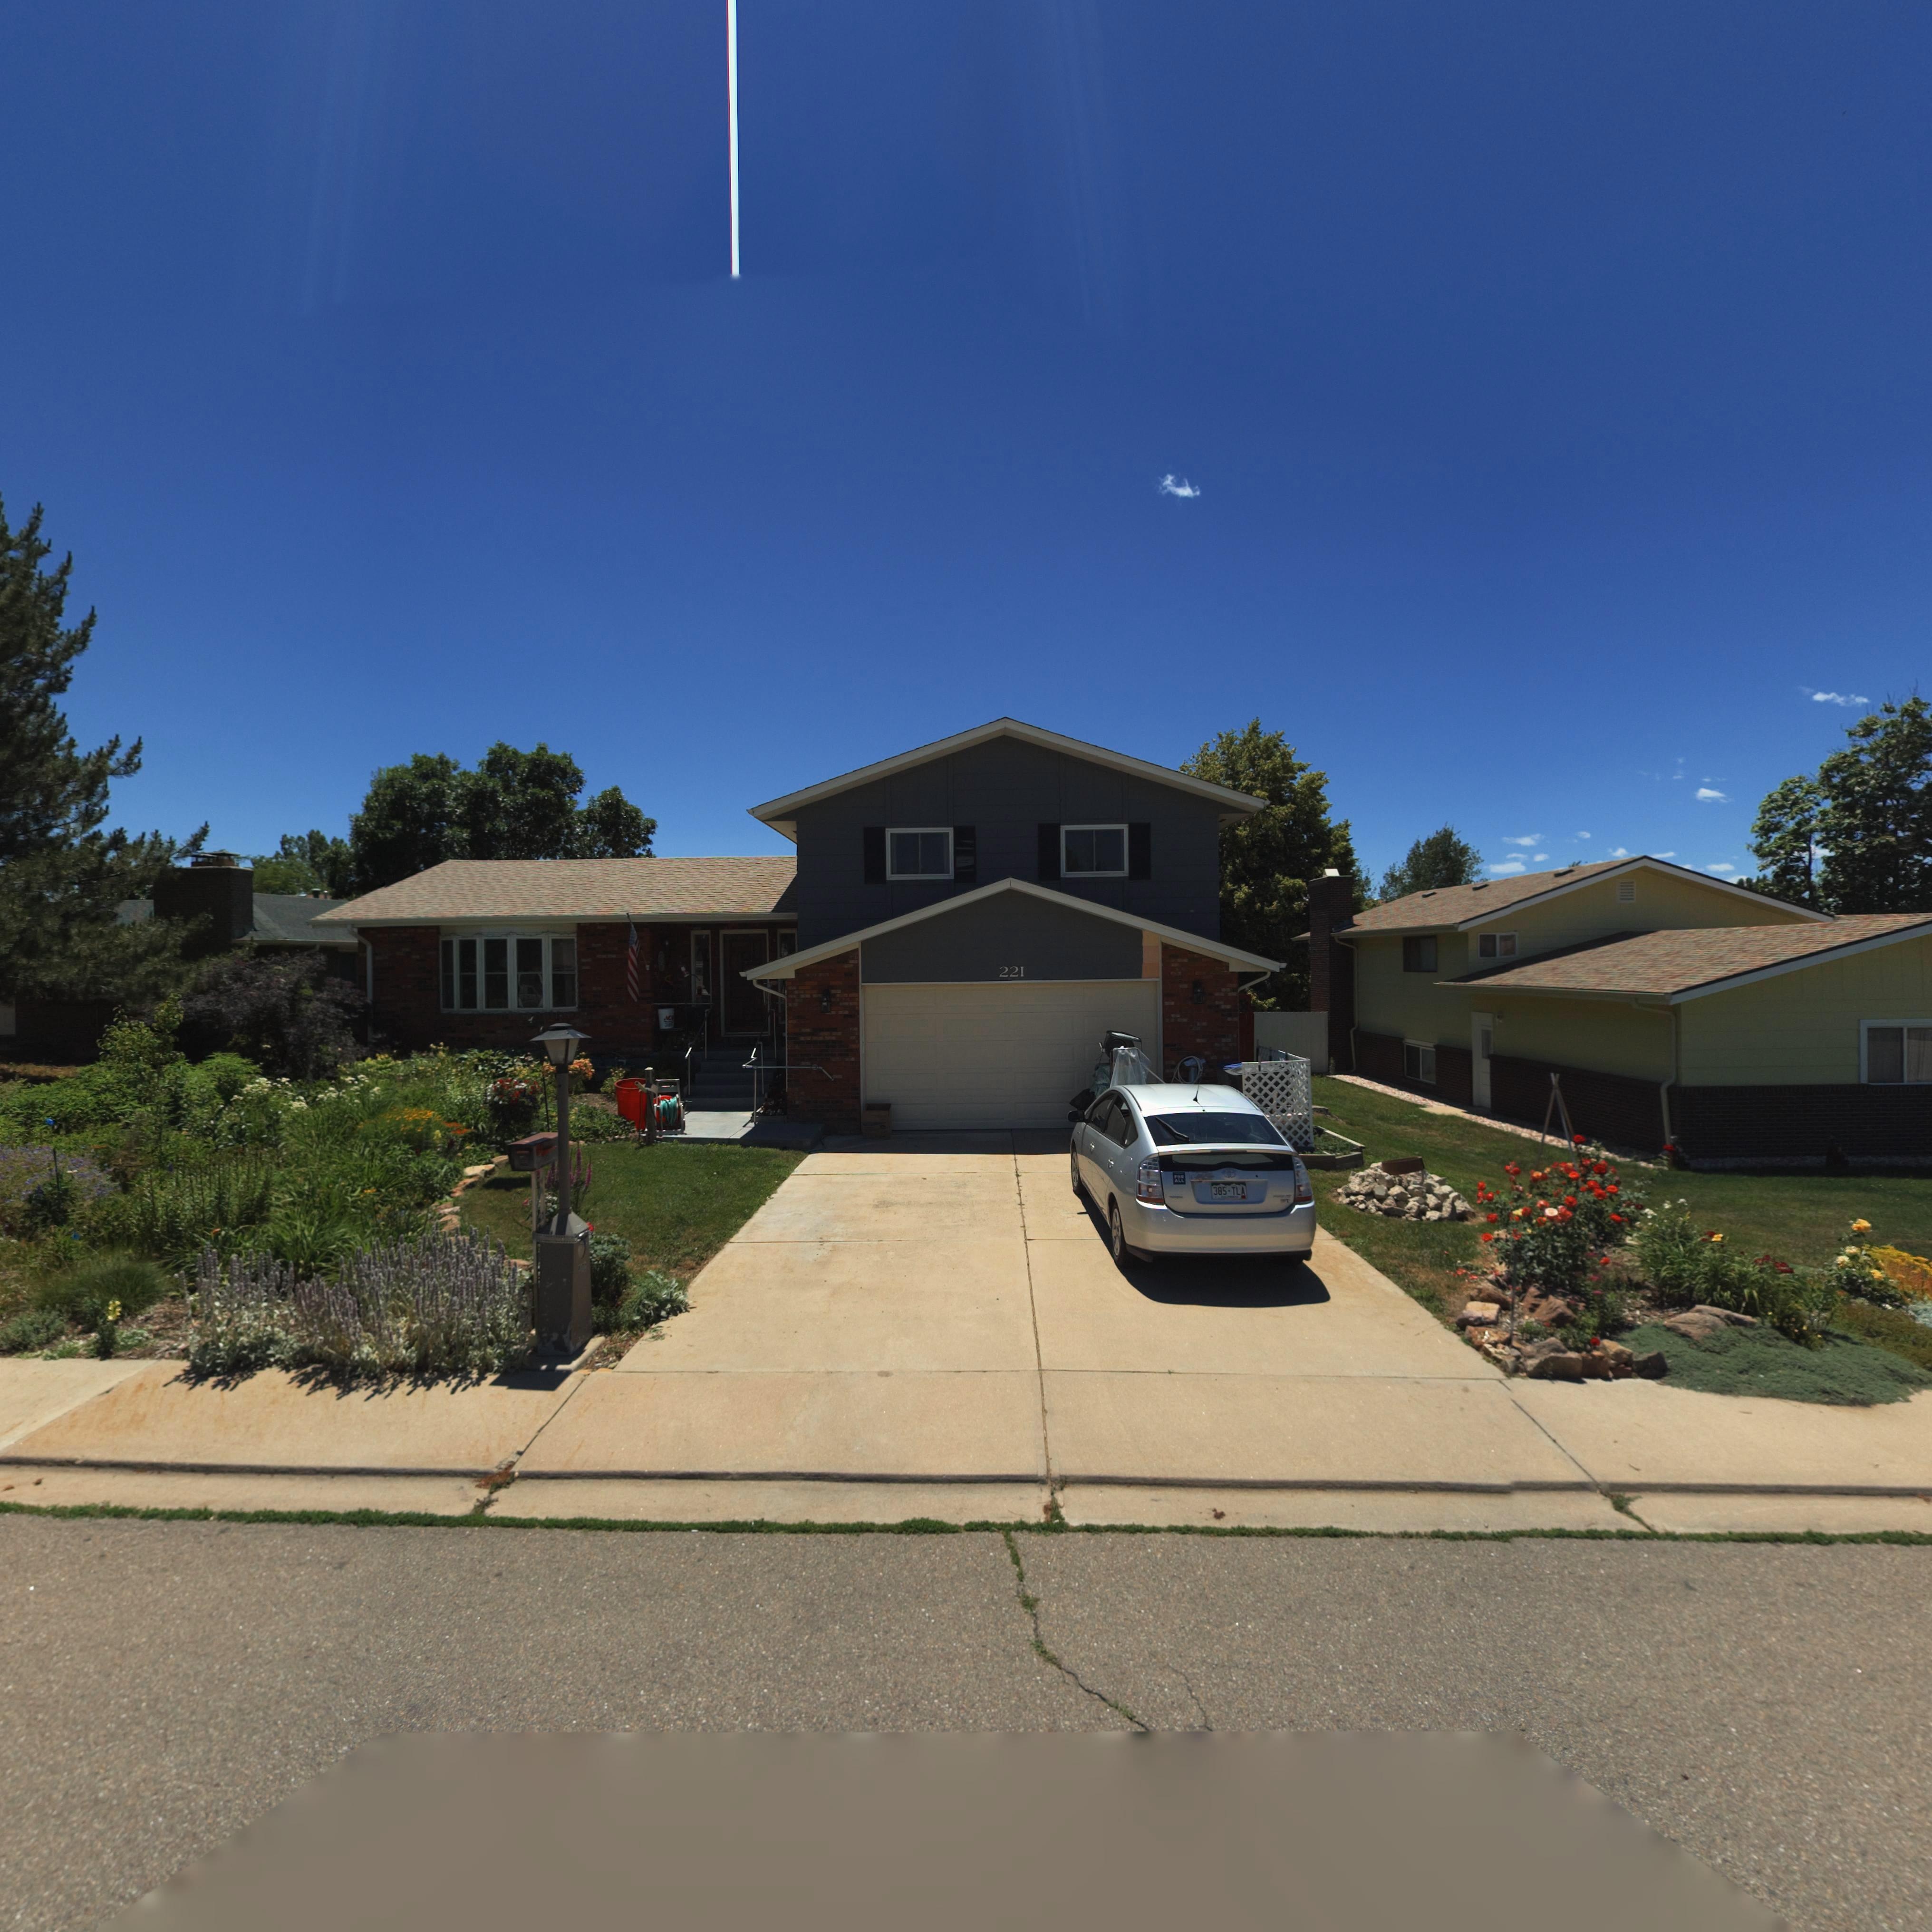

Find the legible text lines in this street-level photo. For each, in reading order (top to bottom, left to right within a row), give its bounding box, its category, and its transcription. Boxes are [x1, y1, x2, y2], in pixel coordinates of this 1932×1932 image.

[999, 966, 1024, 977] StreetNumber: 221